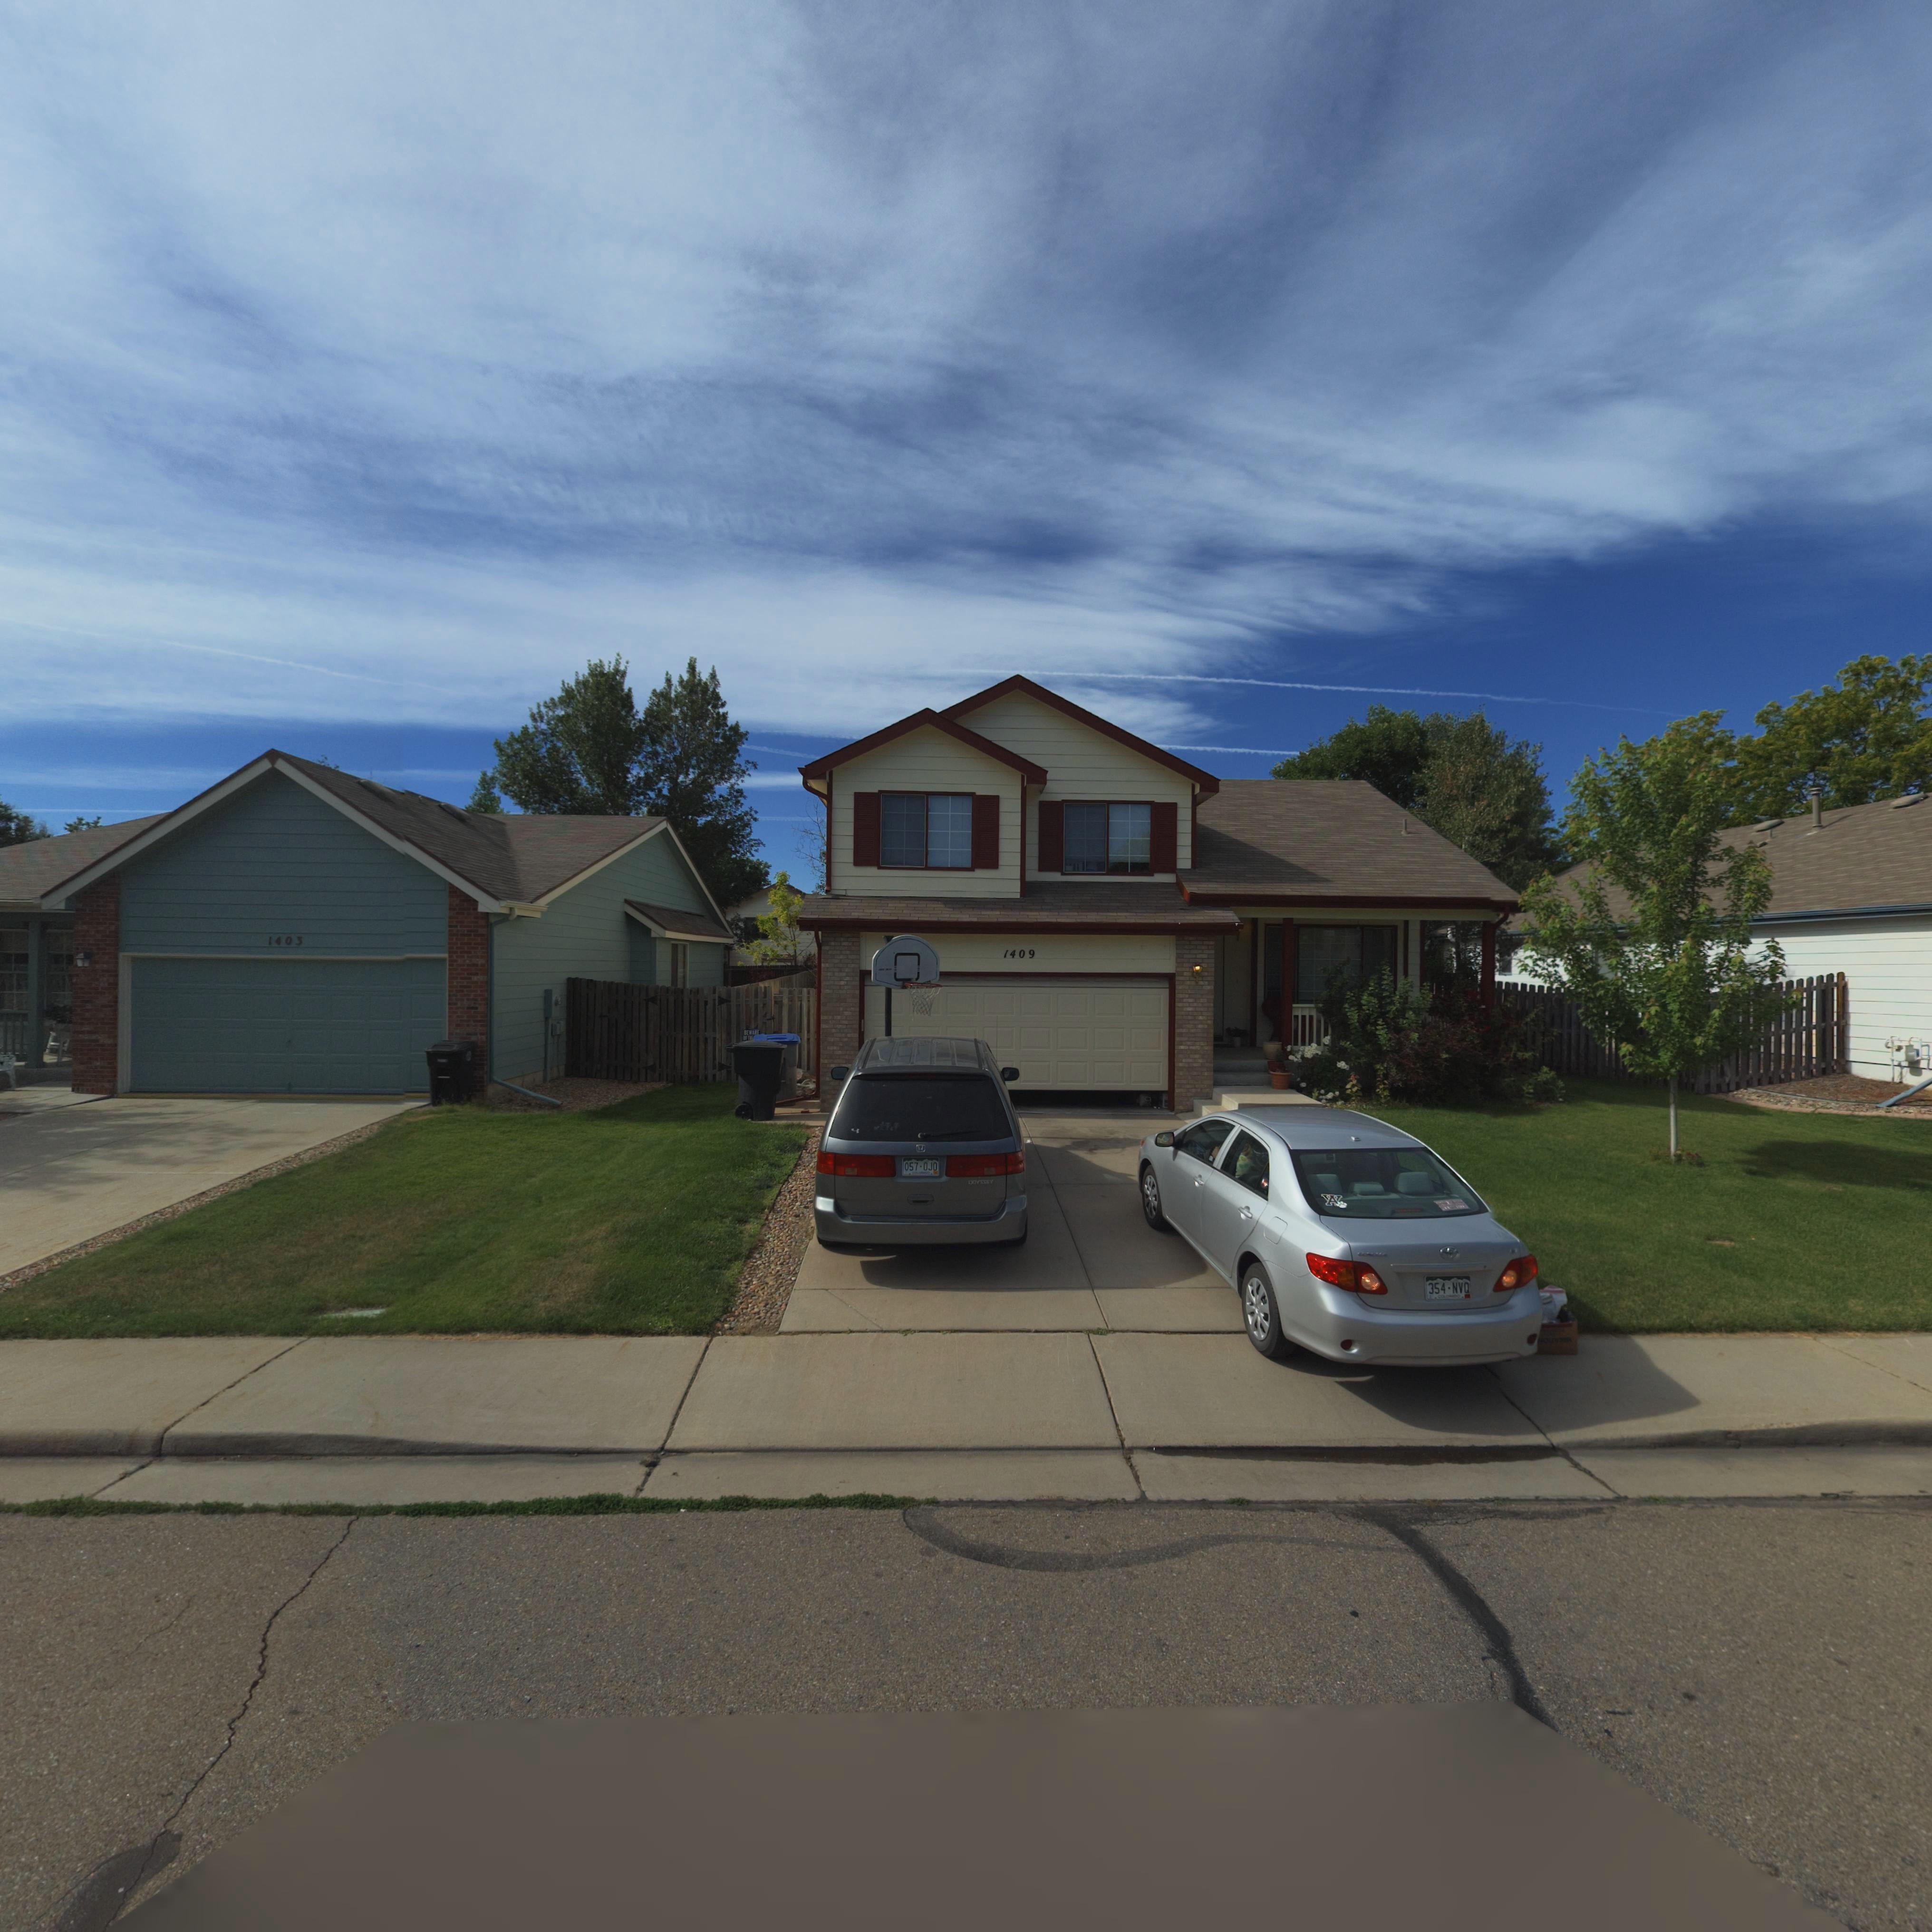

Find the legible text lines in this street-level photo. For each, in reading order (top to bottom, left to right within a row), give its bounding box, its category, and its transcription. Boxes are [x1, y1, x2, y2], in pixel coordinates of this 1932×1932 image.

[268, 936, 303, 946] StreetNumber: 1403
[1003, 949, 1034, 958] StreetNumber: 1409